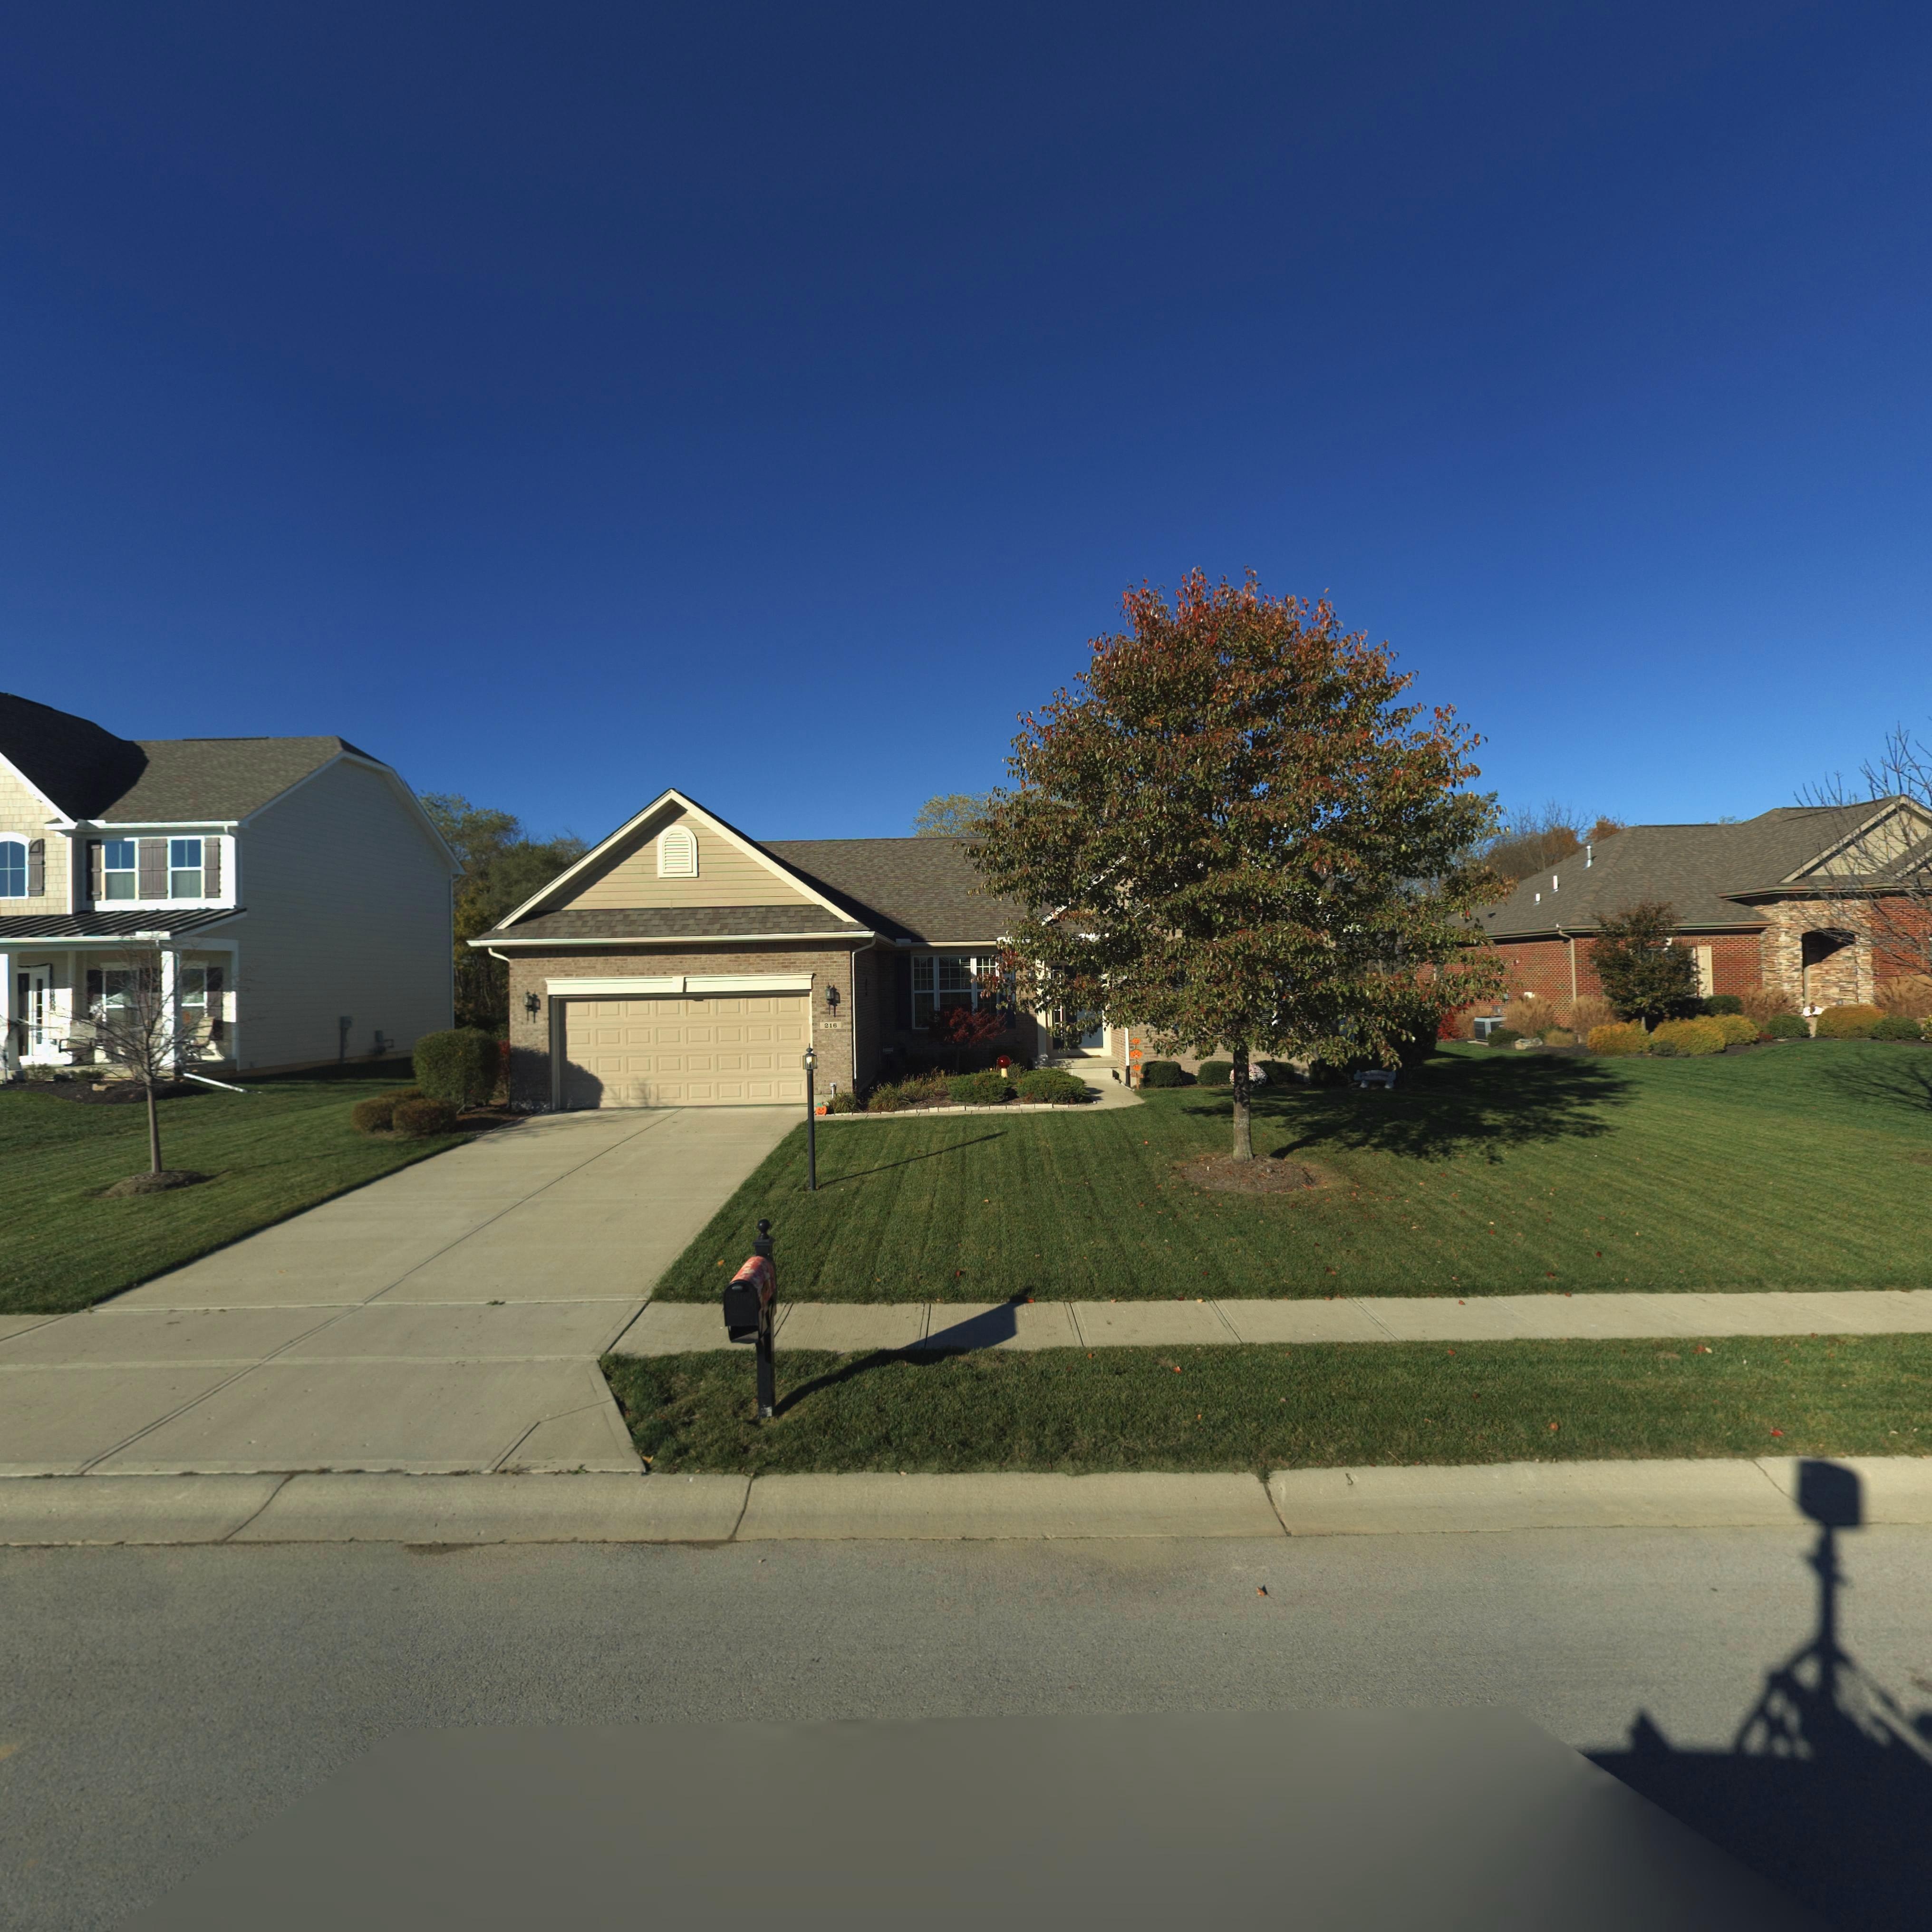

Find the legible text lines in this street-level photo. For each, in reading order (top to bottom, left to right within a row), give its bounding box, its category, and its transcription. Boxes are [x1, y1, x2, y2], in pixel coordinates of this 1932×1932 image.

[823, 1022, 838, 1029] StreetNumber: 216